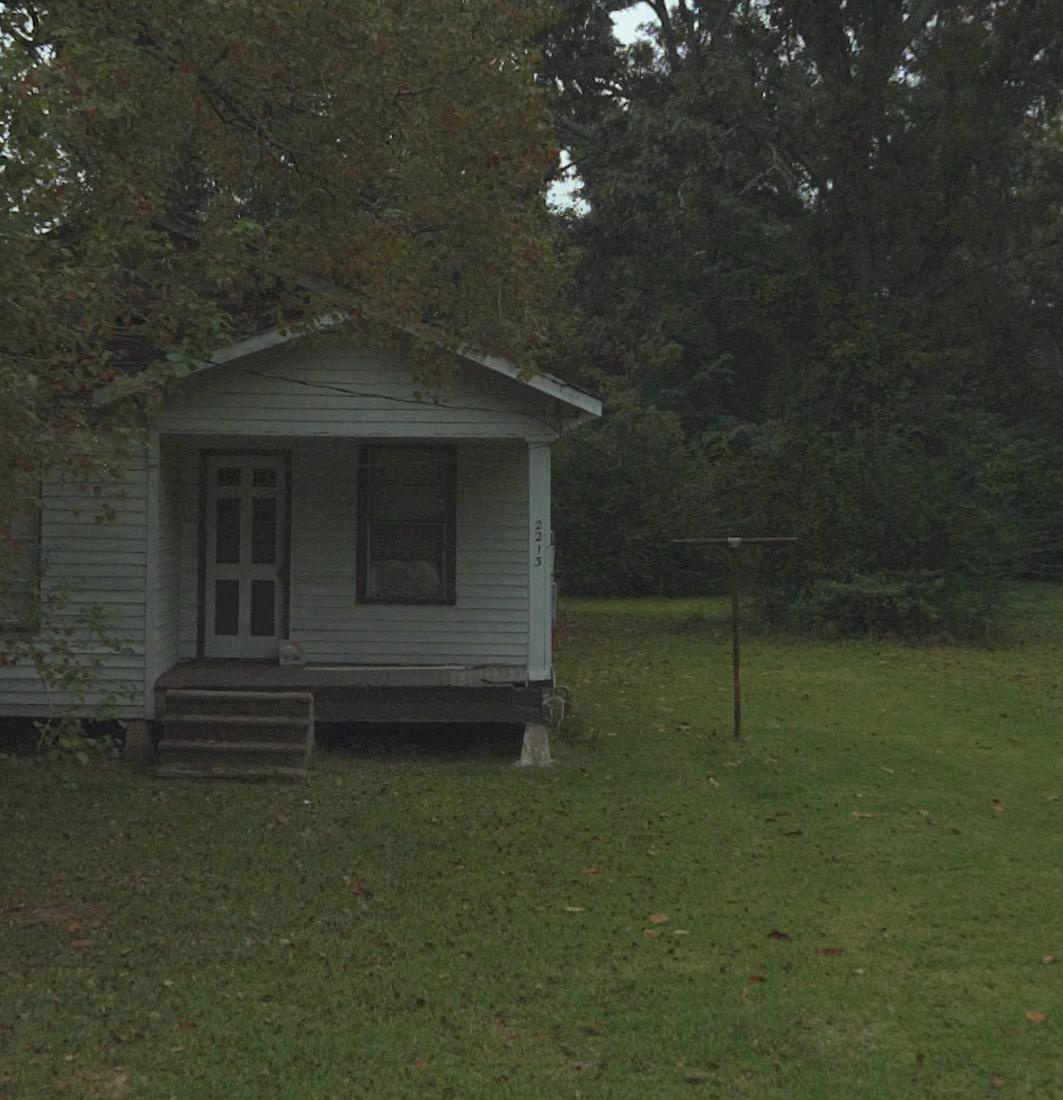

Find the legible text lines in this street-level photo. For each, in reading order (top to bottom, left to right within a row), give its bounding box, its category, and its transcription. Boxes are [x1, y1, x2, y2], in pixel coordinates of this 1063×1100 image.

[534, 519, 543, 568] StreetNumber: 2213